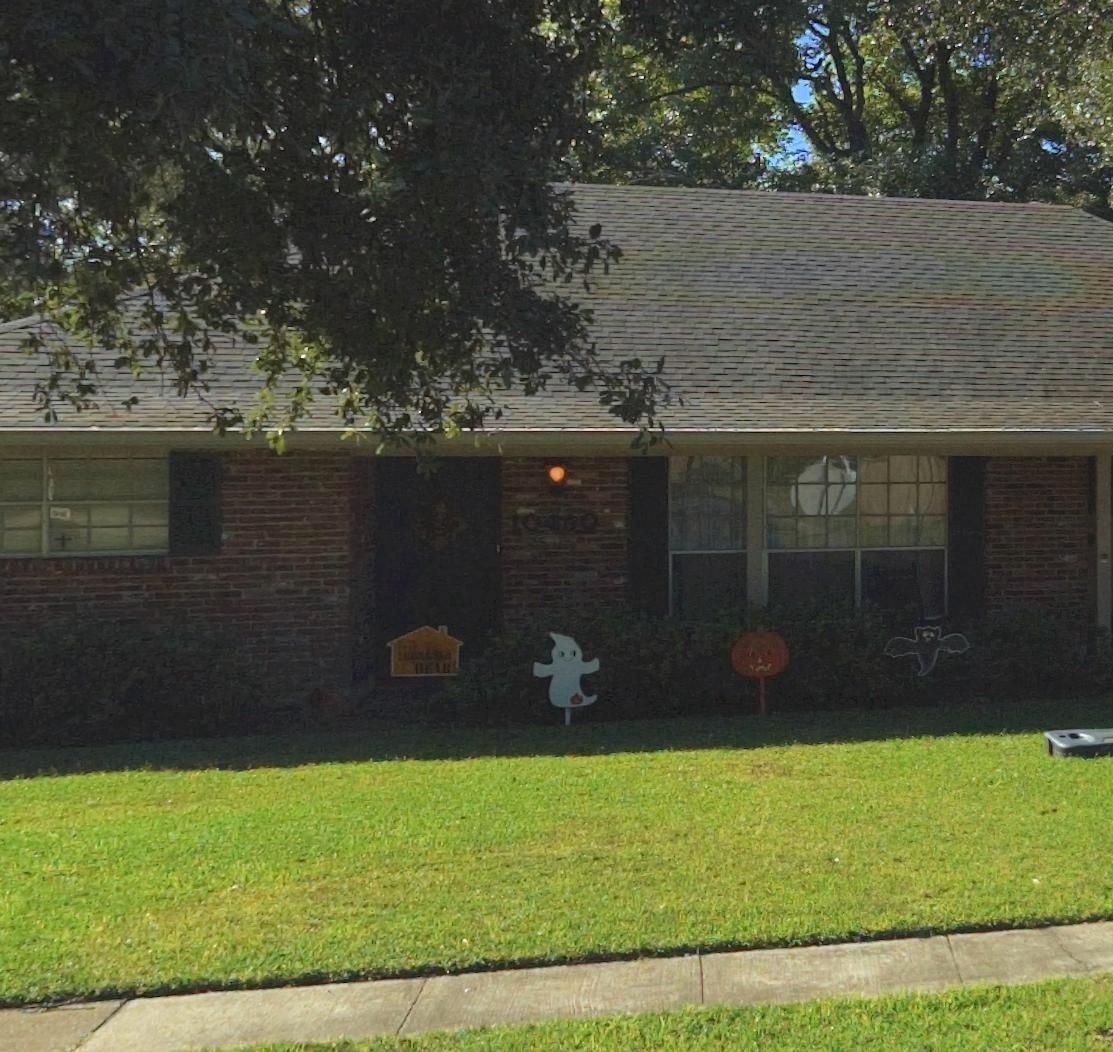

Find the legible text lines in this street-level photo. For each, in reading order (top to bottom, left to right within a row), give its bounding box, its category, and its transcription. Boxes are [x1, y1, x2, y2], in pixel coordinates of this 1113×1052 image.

[510, 510, 600, 538] StreetNumber: 104*0
[440, 661, 453, 675] None: R